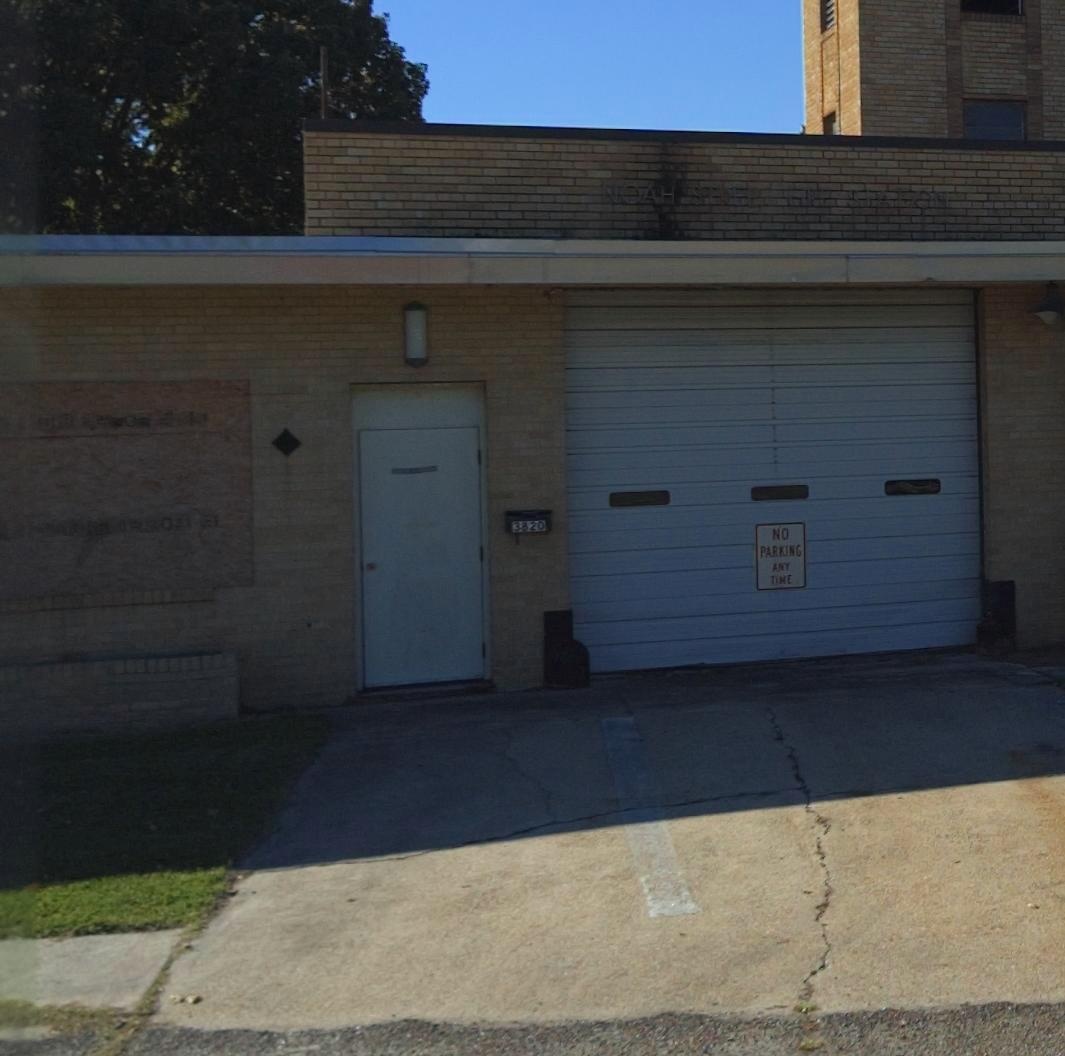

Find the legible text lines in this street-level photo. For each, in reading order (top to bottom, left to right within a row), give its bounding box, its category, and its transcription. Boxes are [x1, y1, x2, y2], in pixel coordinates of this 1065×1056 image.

[598, 182, 706, 207] BusinessName: NOAH S
[511, 518, 547, 535] StreetNumber: 3820
[770, 525, 792, 543] None: NO
[757, 542, 805, 561] None: PARKING
[768, 560, 793, 575] None: ANY
[767, 572, 795, 588] None: TIME